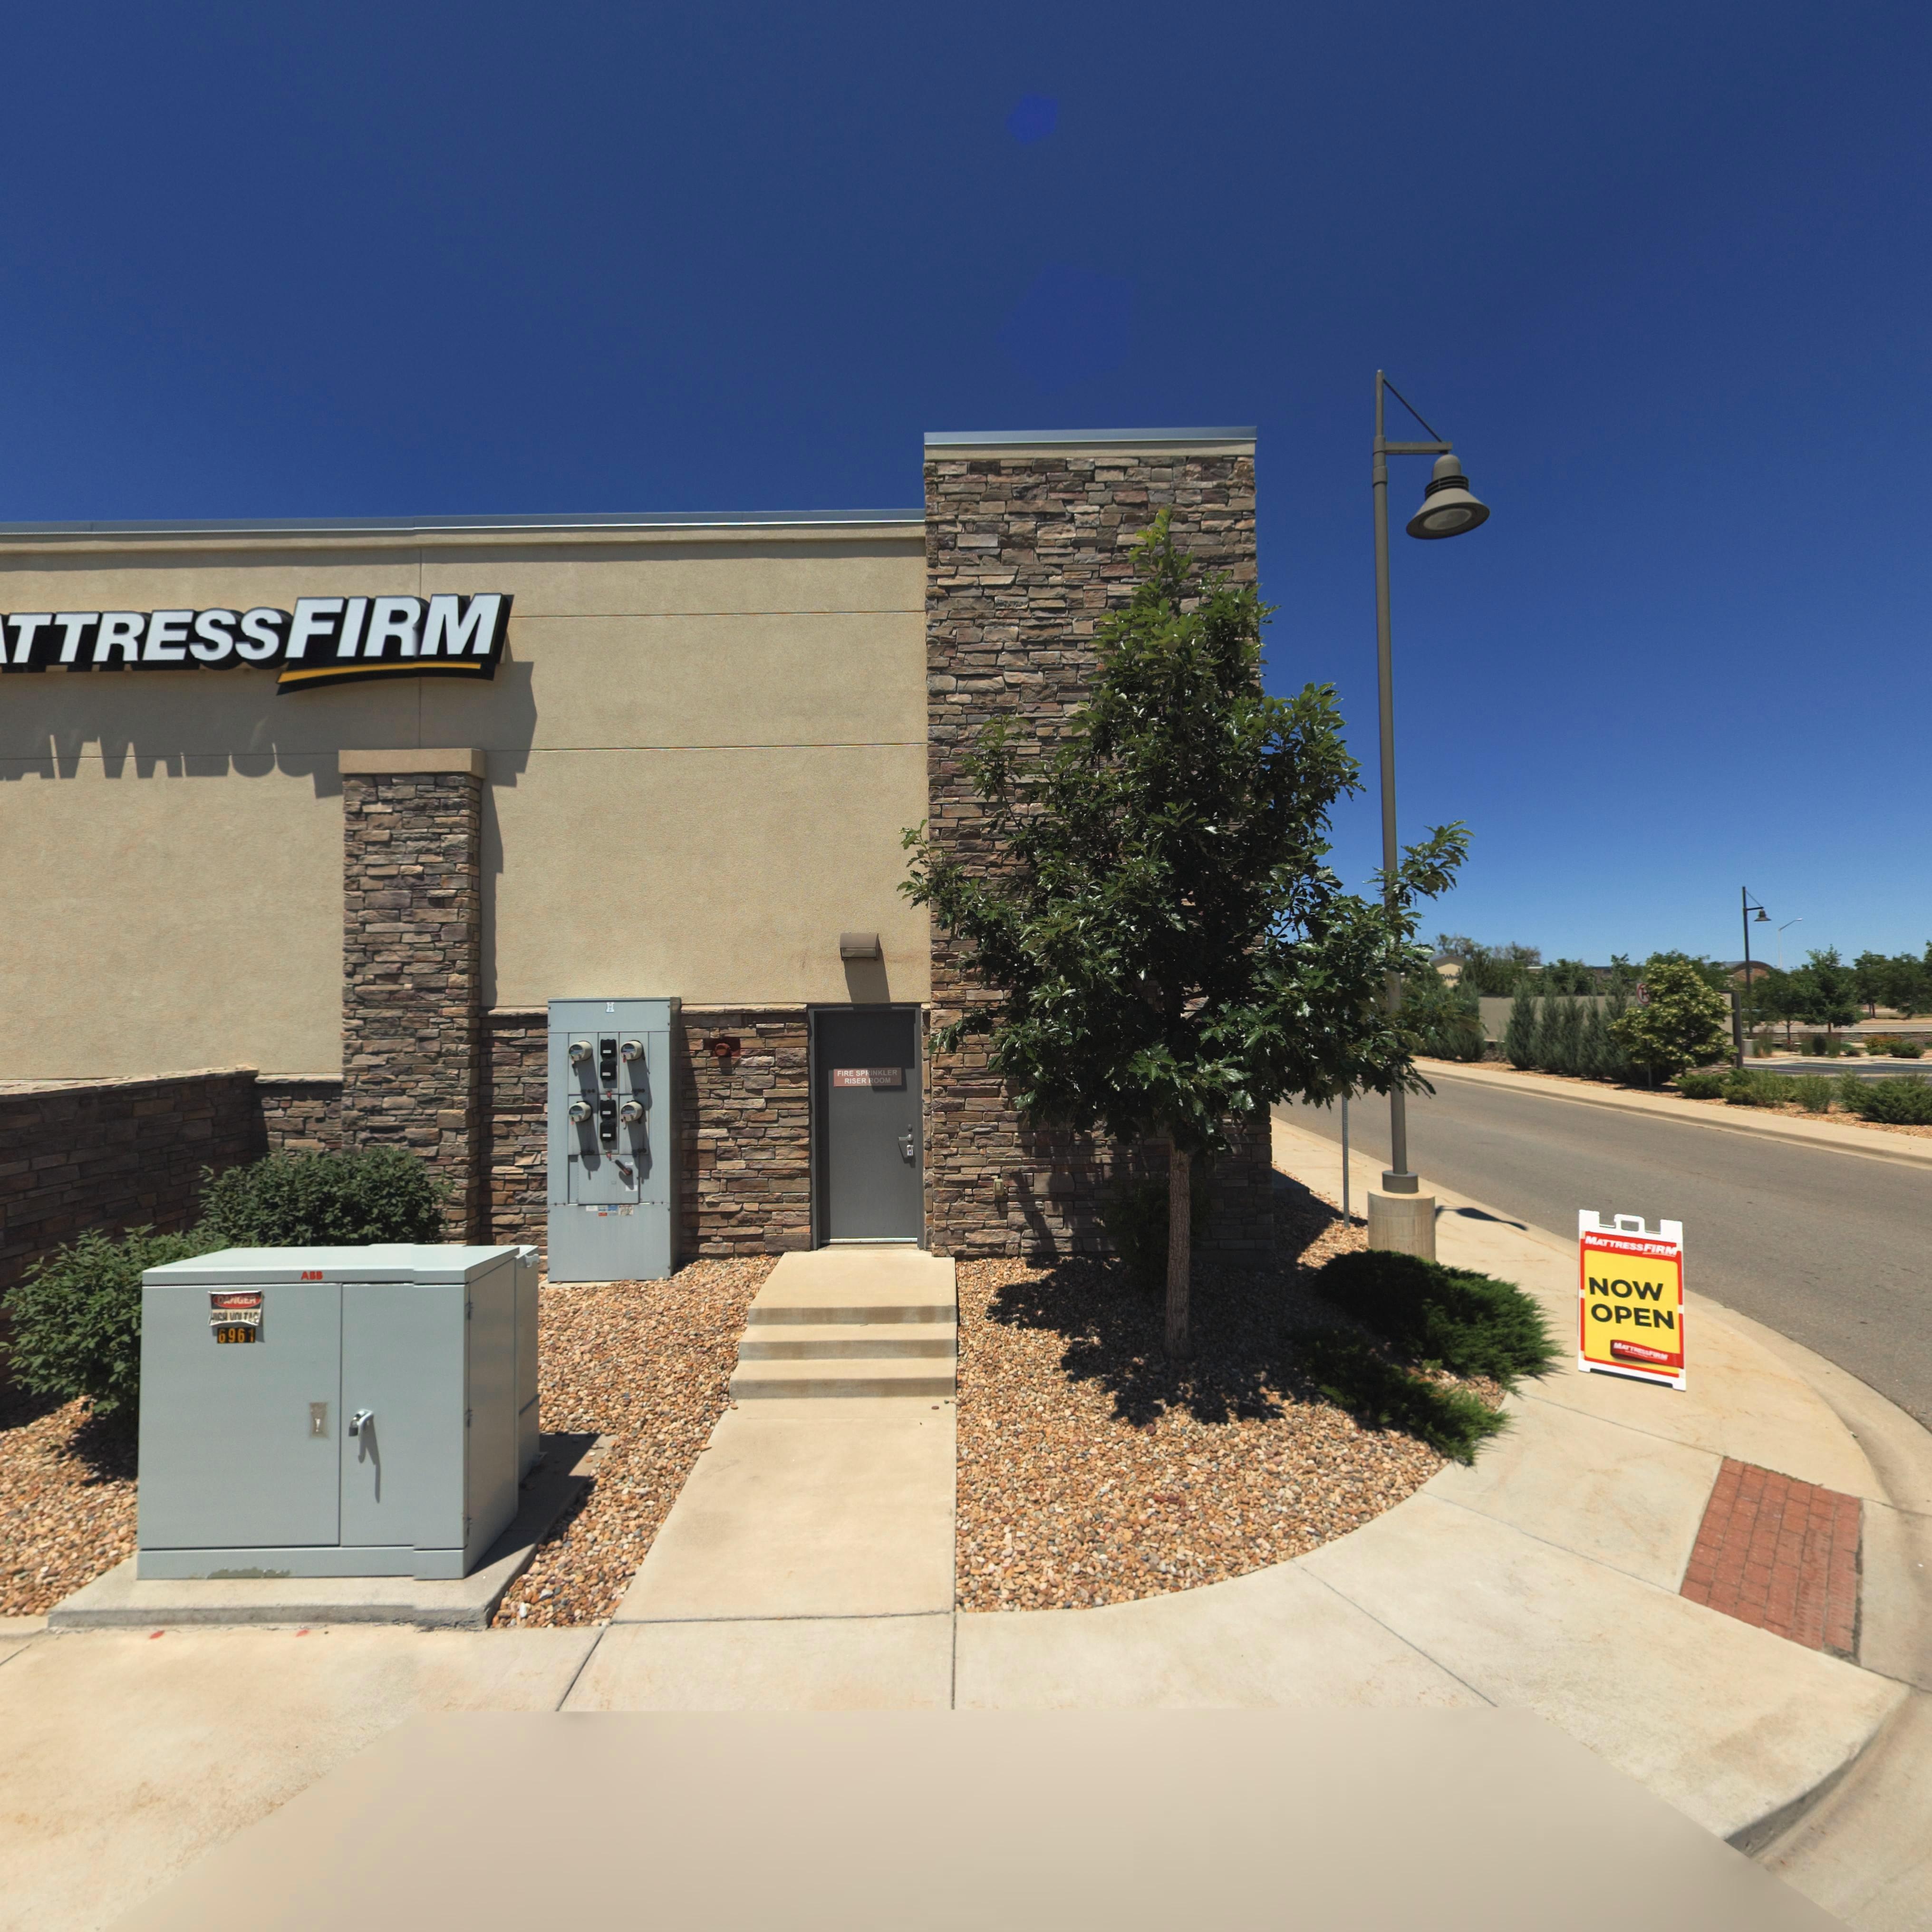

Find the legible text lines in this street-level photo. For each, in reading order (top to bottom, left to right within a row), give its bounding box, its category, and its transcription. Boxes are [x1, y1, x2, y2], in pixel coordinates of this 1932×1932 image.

[10, 590, 506, 665] BusinessName: ttressFIRM